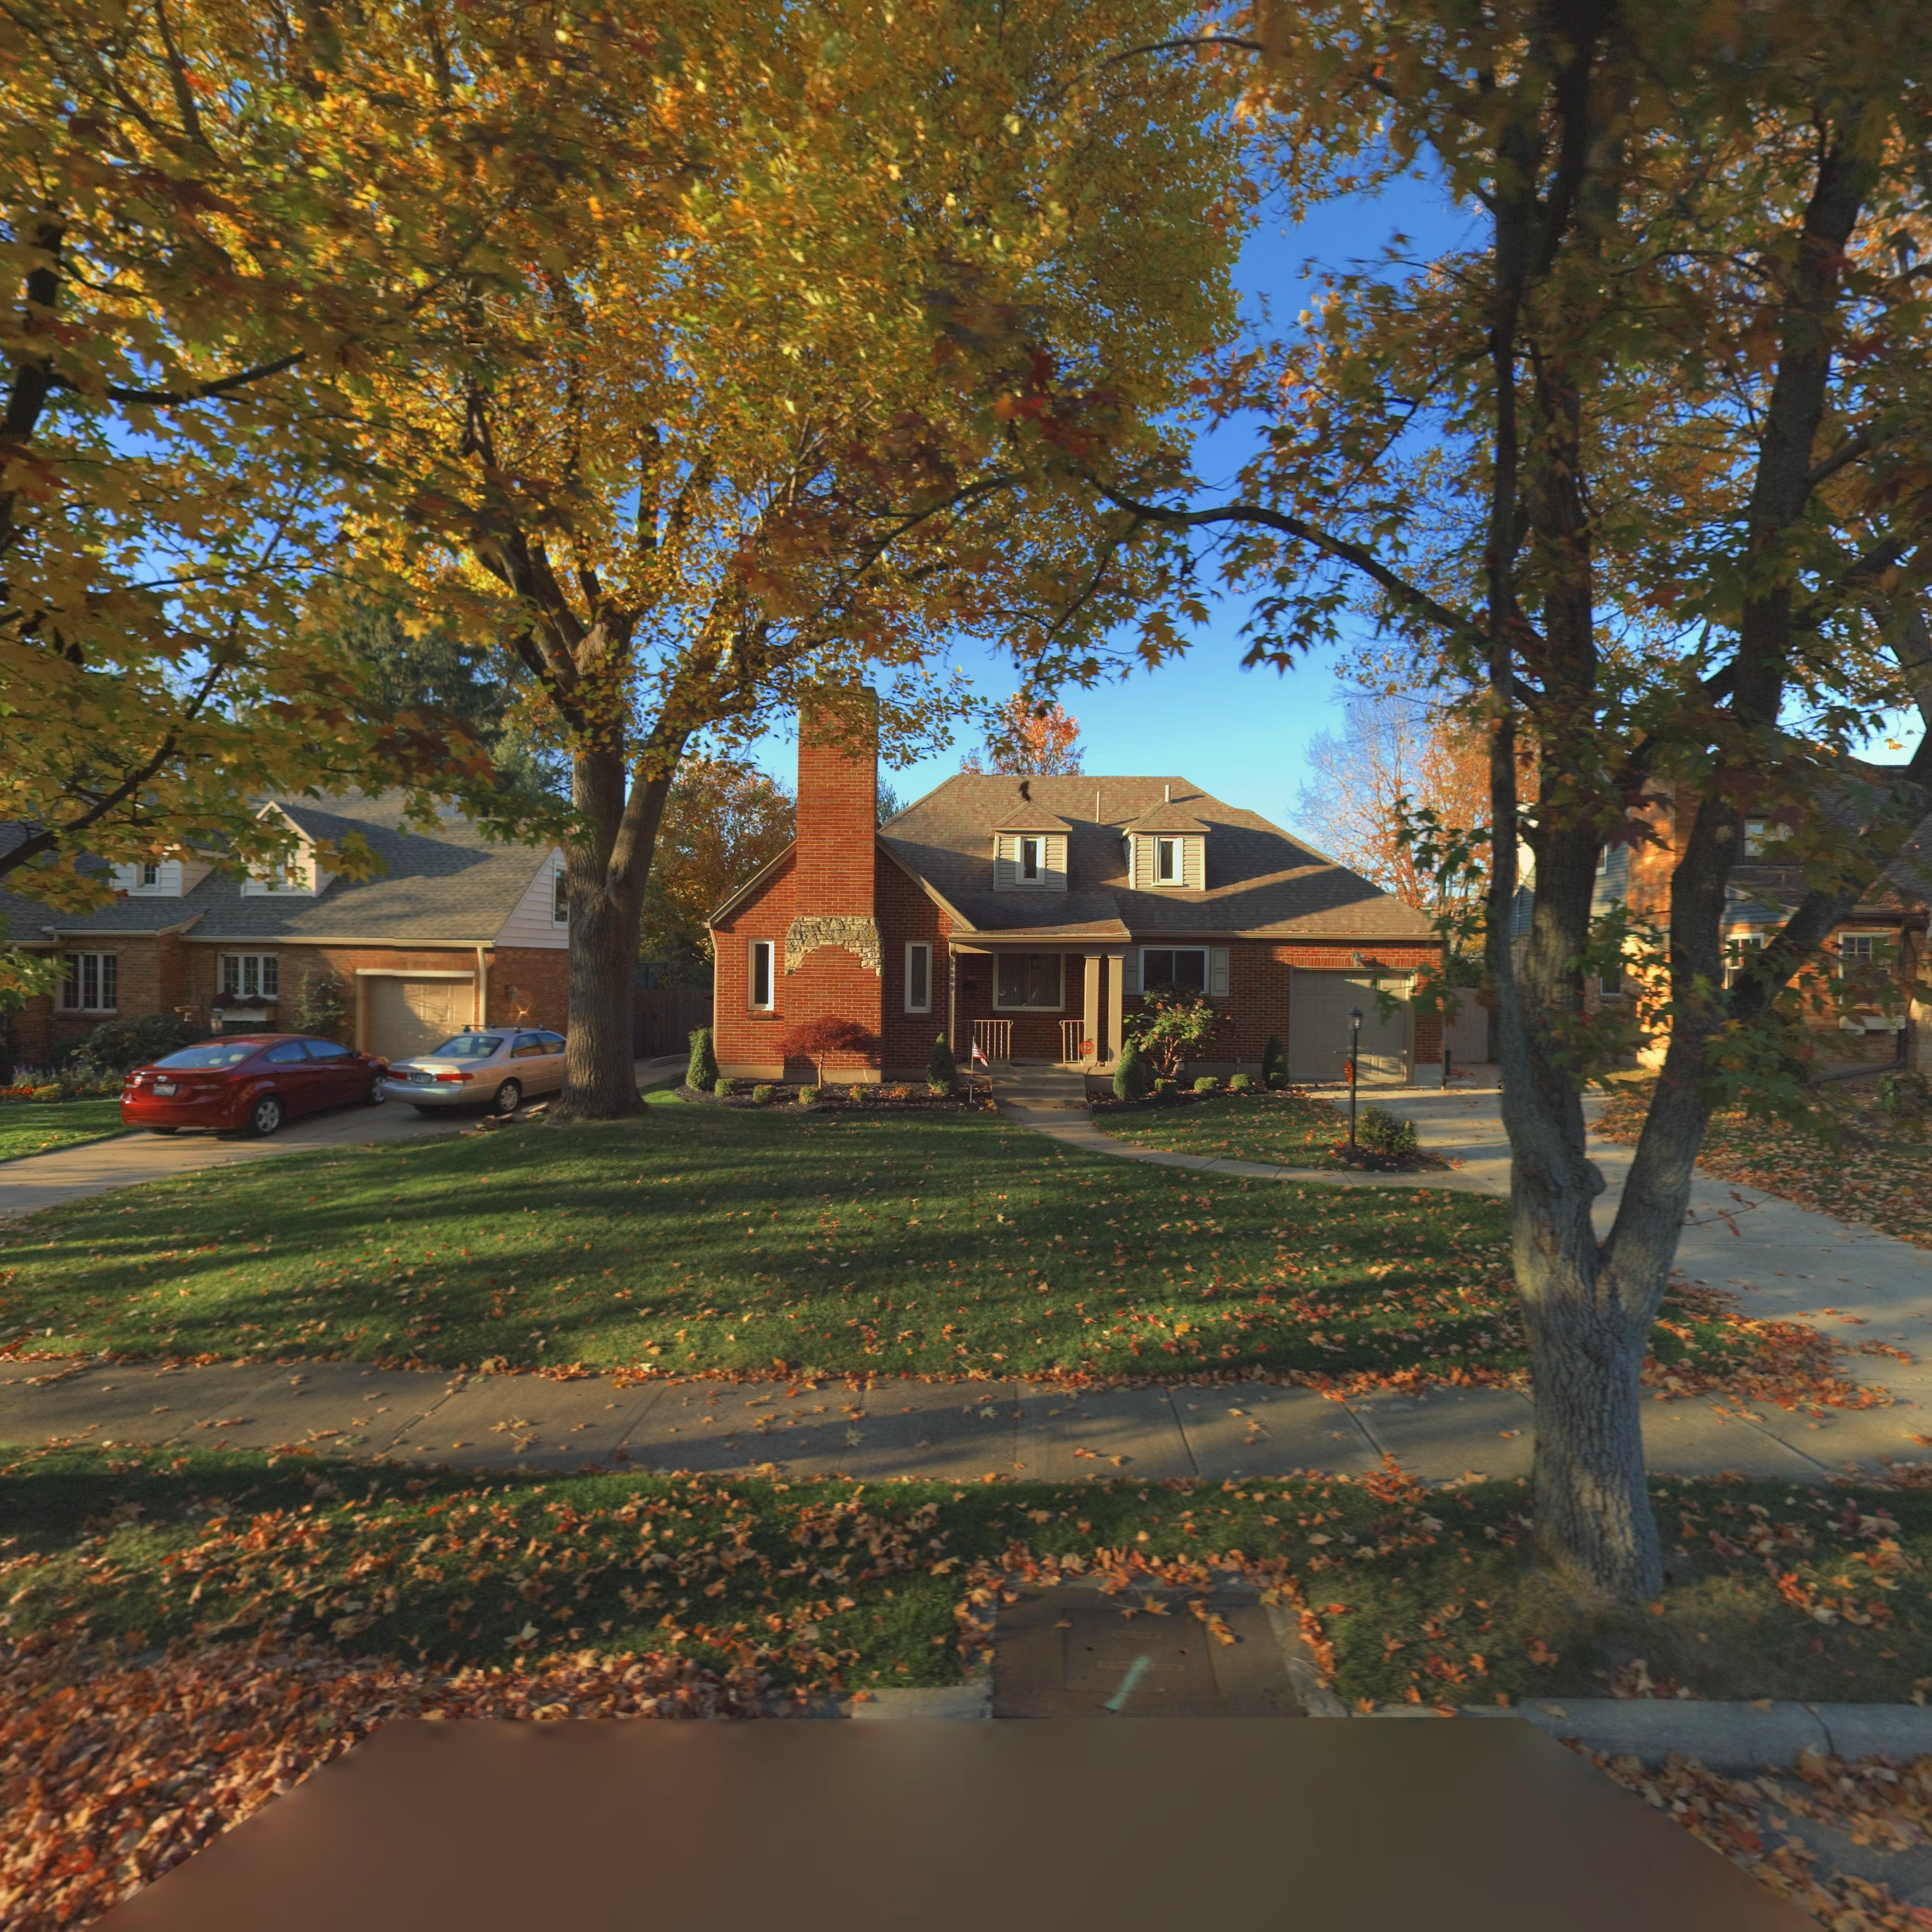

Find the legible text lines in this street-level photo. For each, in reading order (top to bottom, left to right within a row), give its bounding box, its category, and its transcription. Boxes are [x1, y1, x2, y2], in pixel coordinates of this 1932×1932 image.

[967, 976, 976, 980] StreetNumber: 1*5